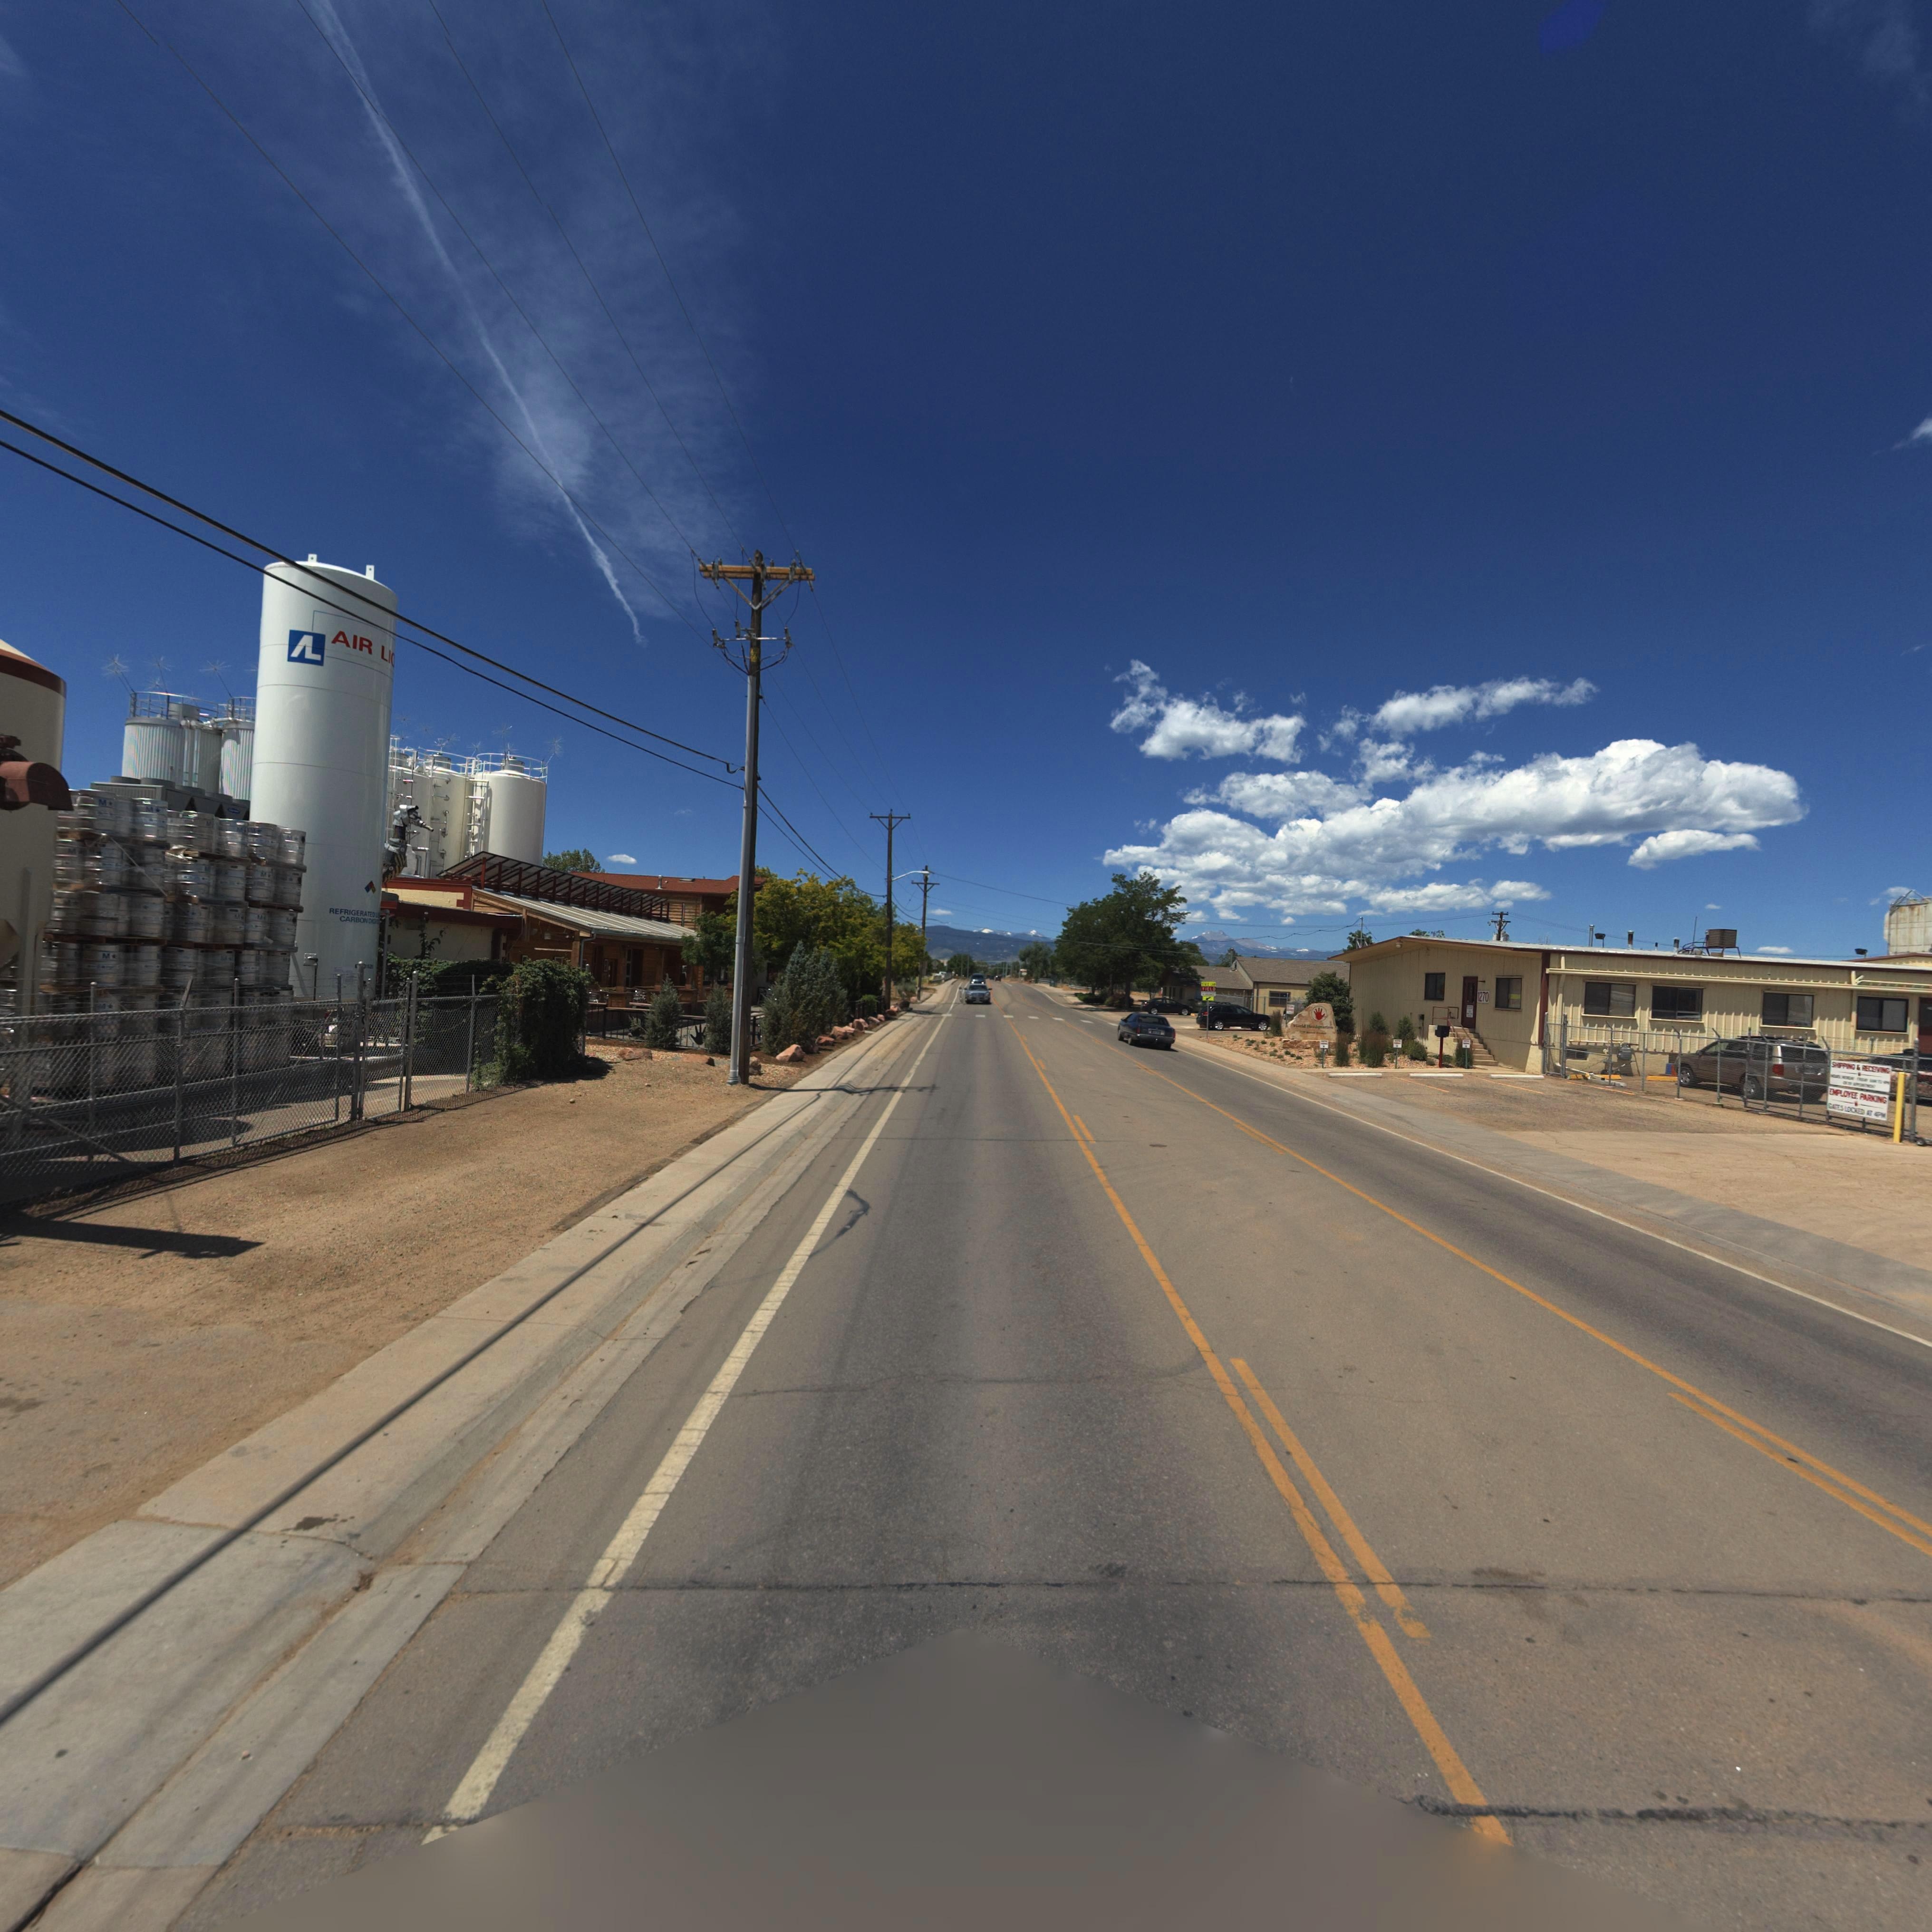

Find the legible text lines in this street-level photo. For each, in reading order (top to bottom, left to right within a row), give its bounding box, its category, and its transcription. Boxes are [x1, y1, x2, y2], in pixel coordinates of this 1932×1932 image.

[1477, 991, 1489, 1002] StreetNumber: 1270
[1293, 1023, 1333, 1030] BusinessName: W*rld He*dqu*rters